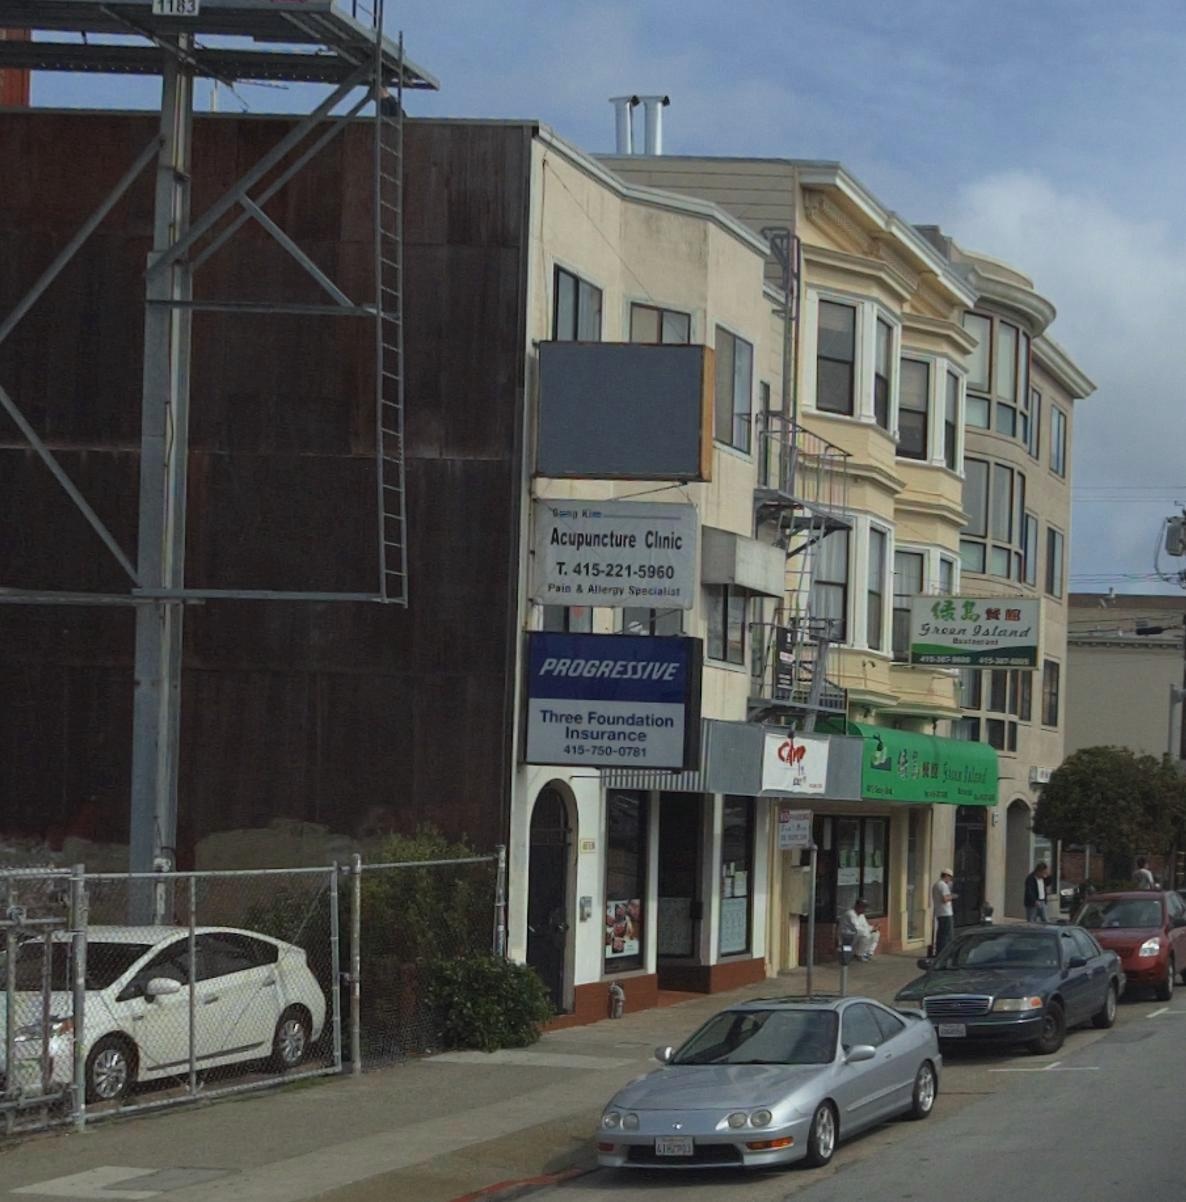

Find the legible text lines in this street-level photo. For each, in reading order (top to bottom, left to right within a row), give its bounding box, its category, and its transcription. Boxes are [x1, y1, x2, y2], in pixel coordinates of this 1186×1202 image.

[548, 524, 684, 553] BusinessName: Acupuncture Clinic
[551, 558, 676, 584] None: T. 415-221-5960
[546, 581, 683, 600] None: Pain & Allergy Specialist
[913, 618, 1037, 642] BusinessName: Green Island
[950, 636, 1002, 648] None: Restaurant
[535, 656, 684, 682] BusinessName: PROGRESSIVE
[538, 708, 676, 730] BusinessName: Three Foundation
[563, 724, 648, 745] BusinessName: Insurance
[559, 741, 647, 760] None: 415-750-0781
[774, 740, 809, 771] BusinessName: CAMP